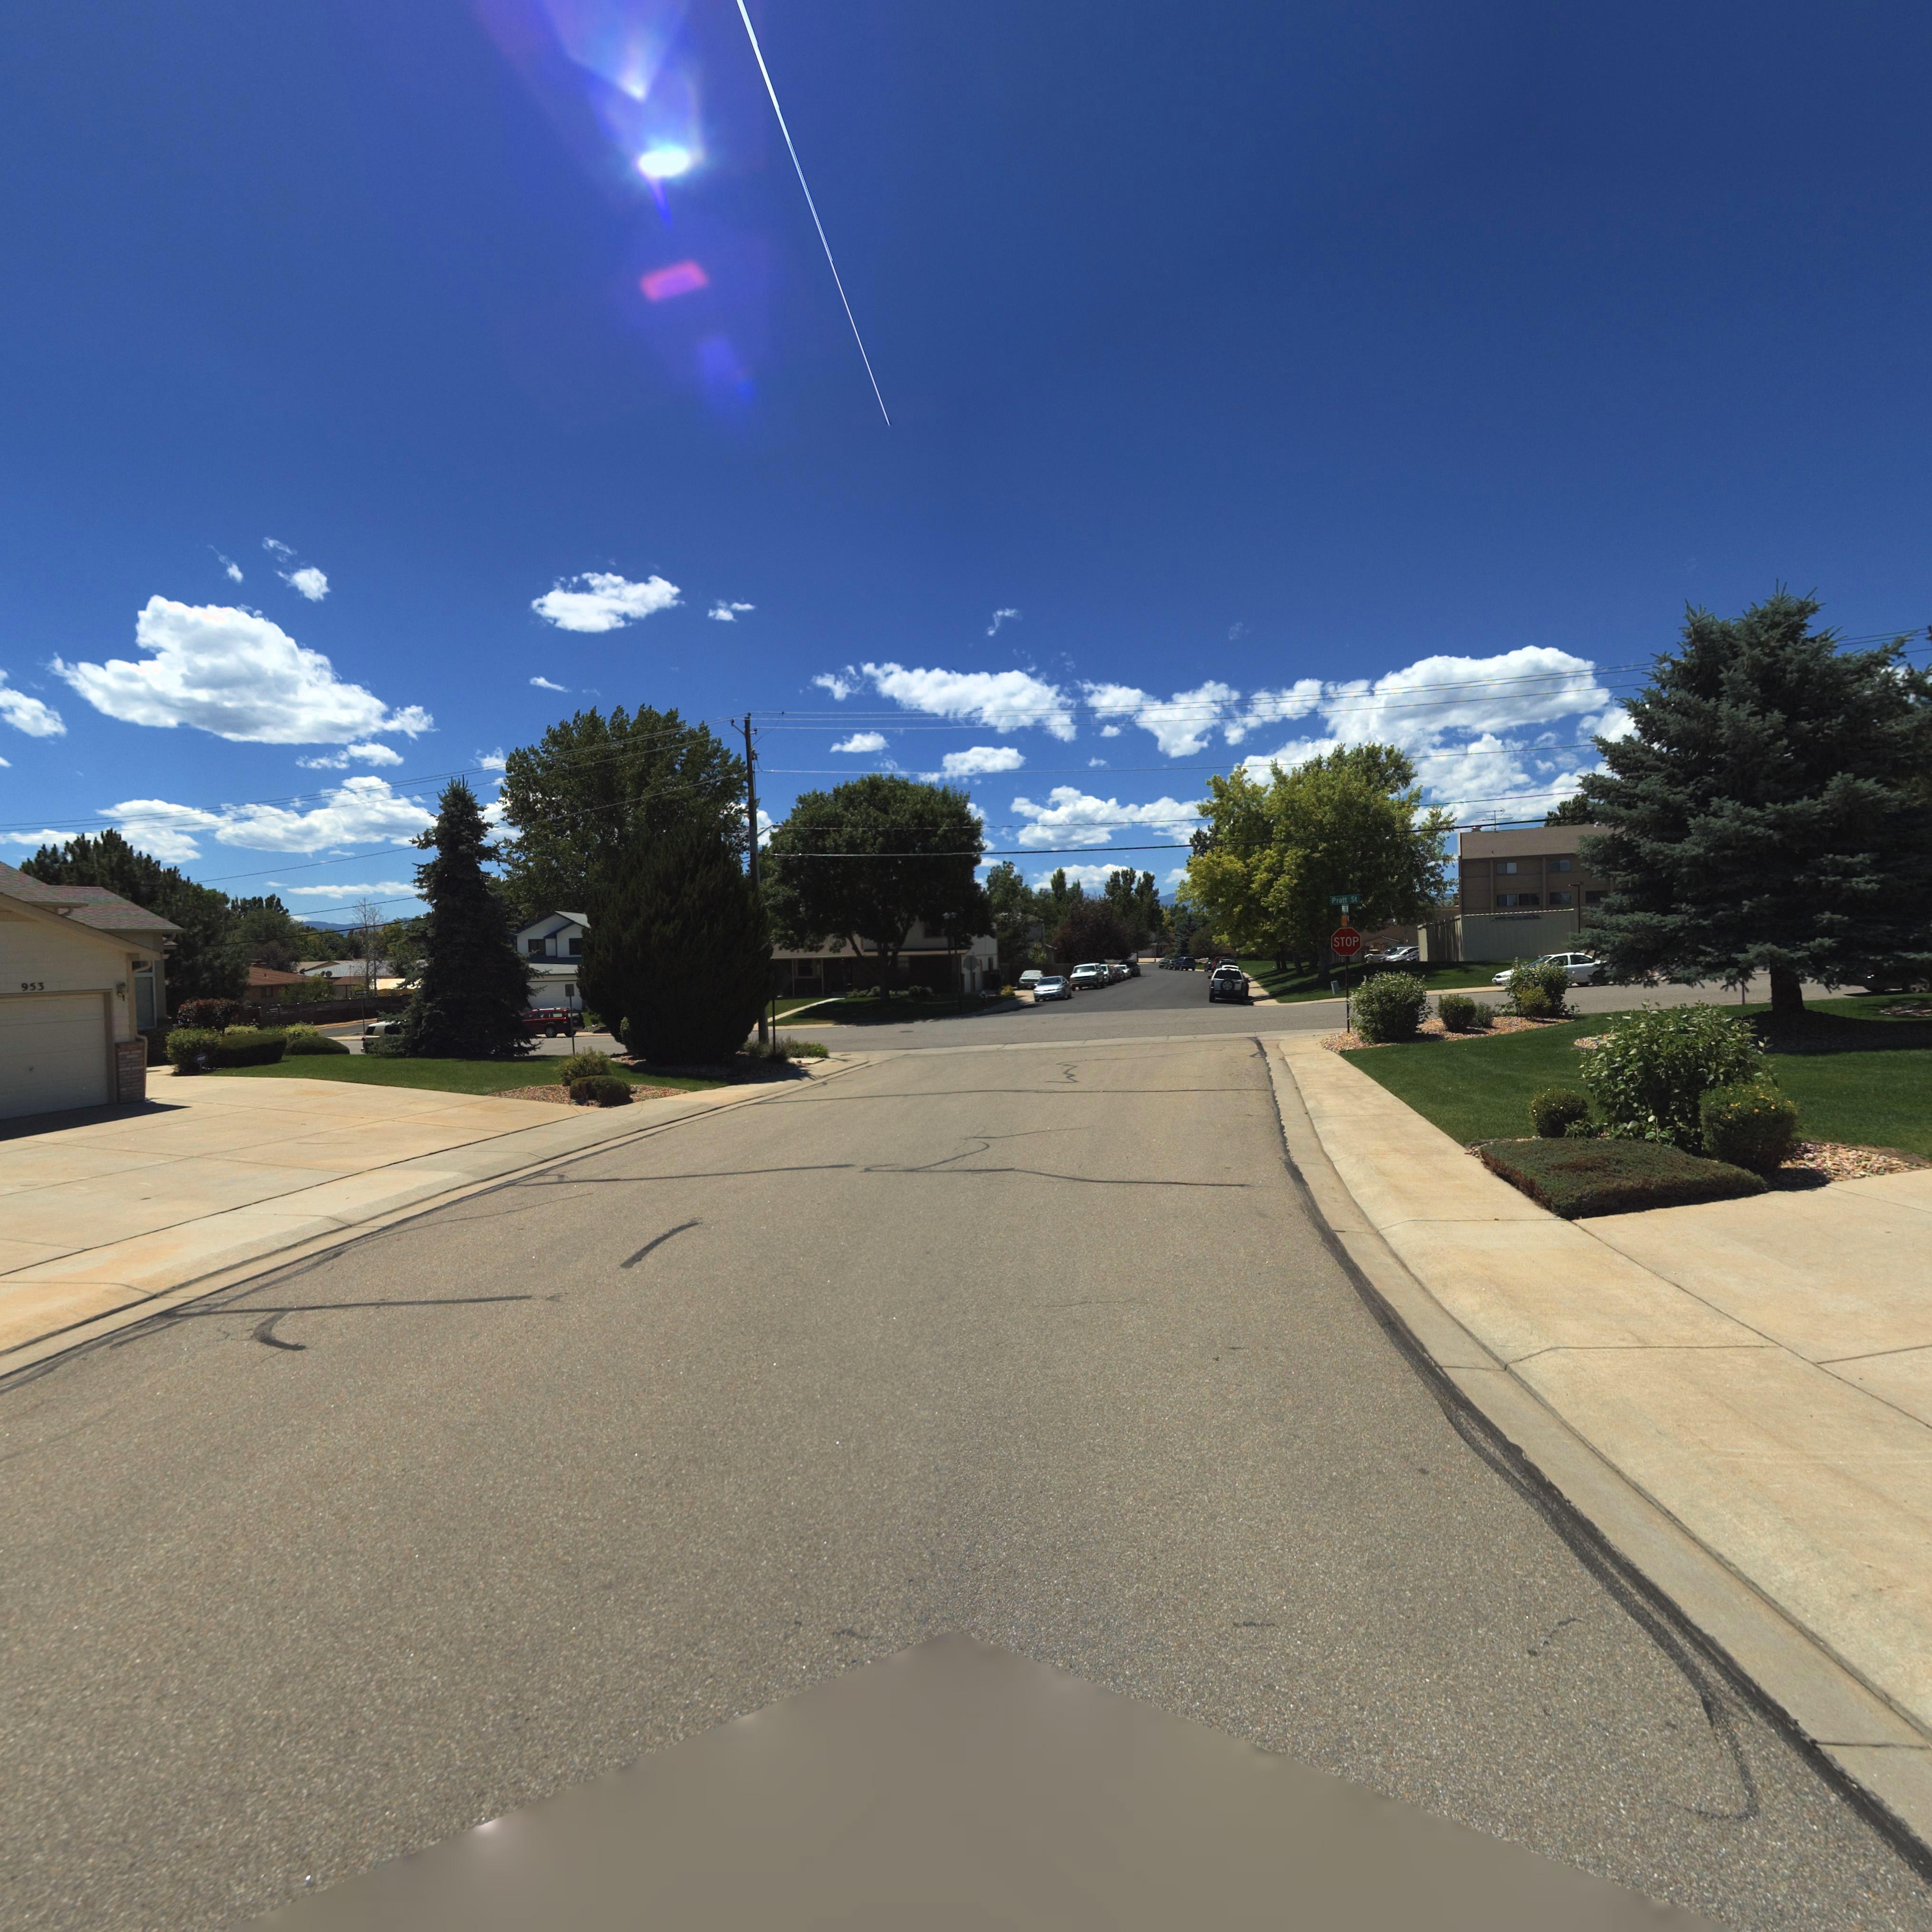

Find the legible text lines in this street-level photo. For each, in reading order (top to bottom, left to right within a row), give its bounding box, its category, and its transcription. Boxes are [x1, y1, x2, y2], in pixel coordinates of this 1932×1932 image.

[1331, 896, 1357, 904] StreetName: Pratt St
[20, 982, 45, 991] StreetNumber: 953